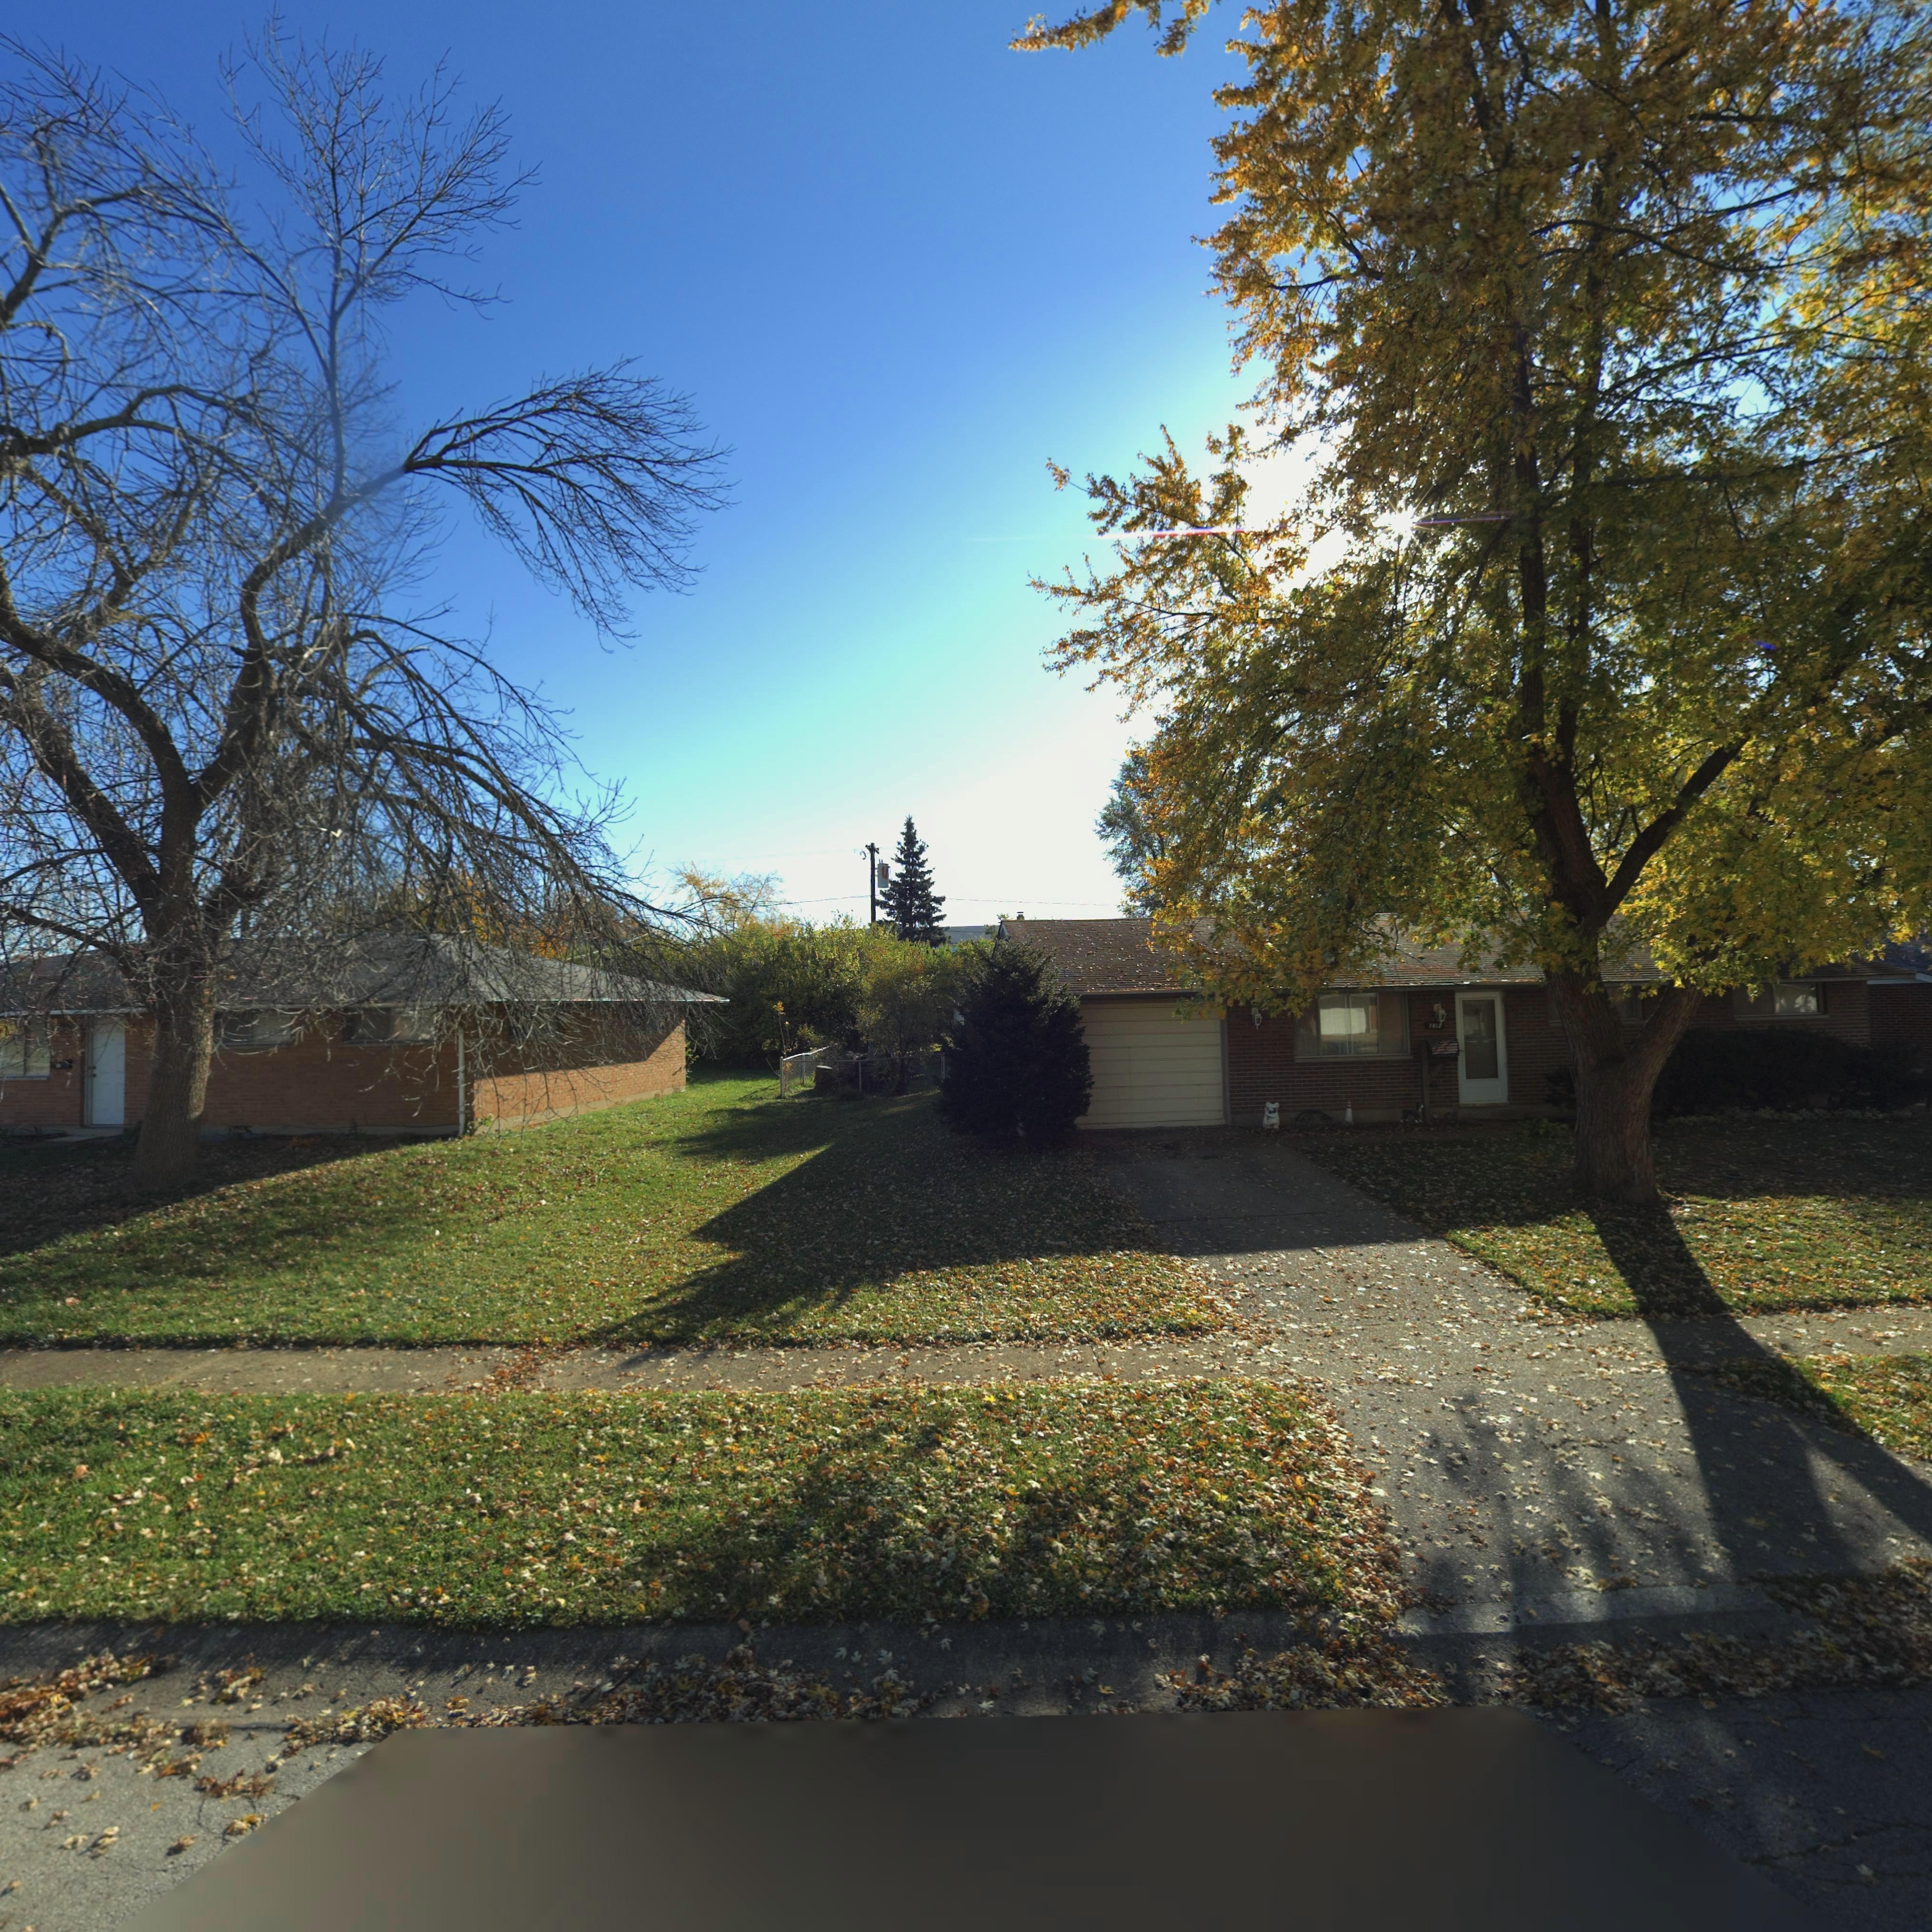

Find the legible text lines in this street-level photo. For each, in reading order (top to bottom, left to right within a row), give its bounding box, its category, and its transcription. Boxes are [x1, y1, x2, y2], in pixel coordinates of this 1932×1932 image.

[1428, 1023, 1443, 1029] StreetNumber: 7812